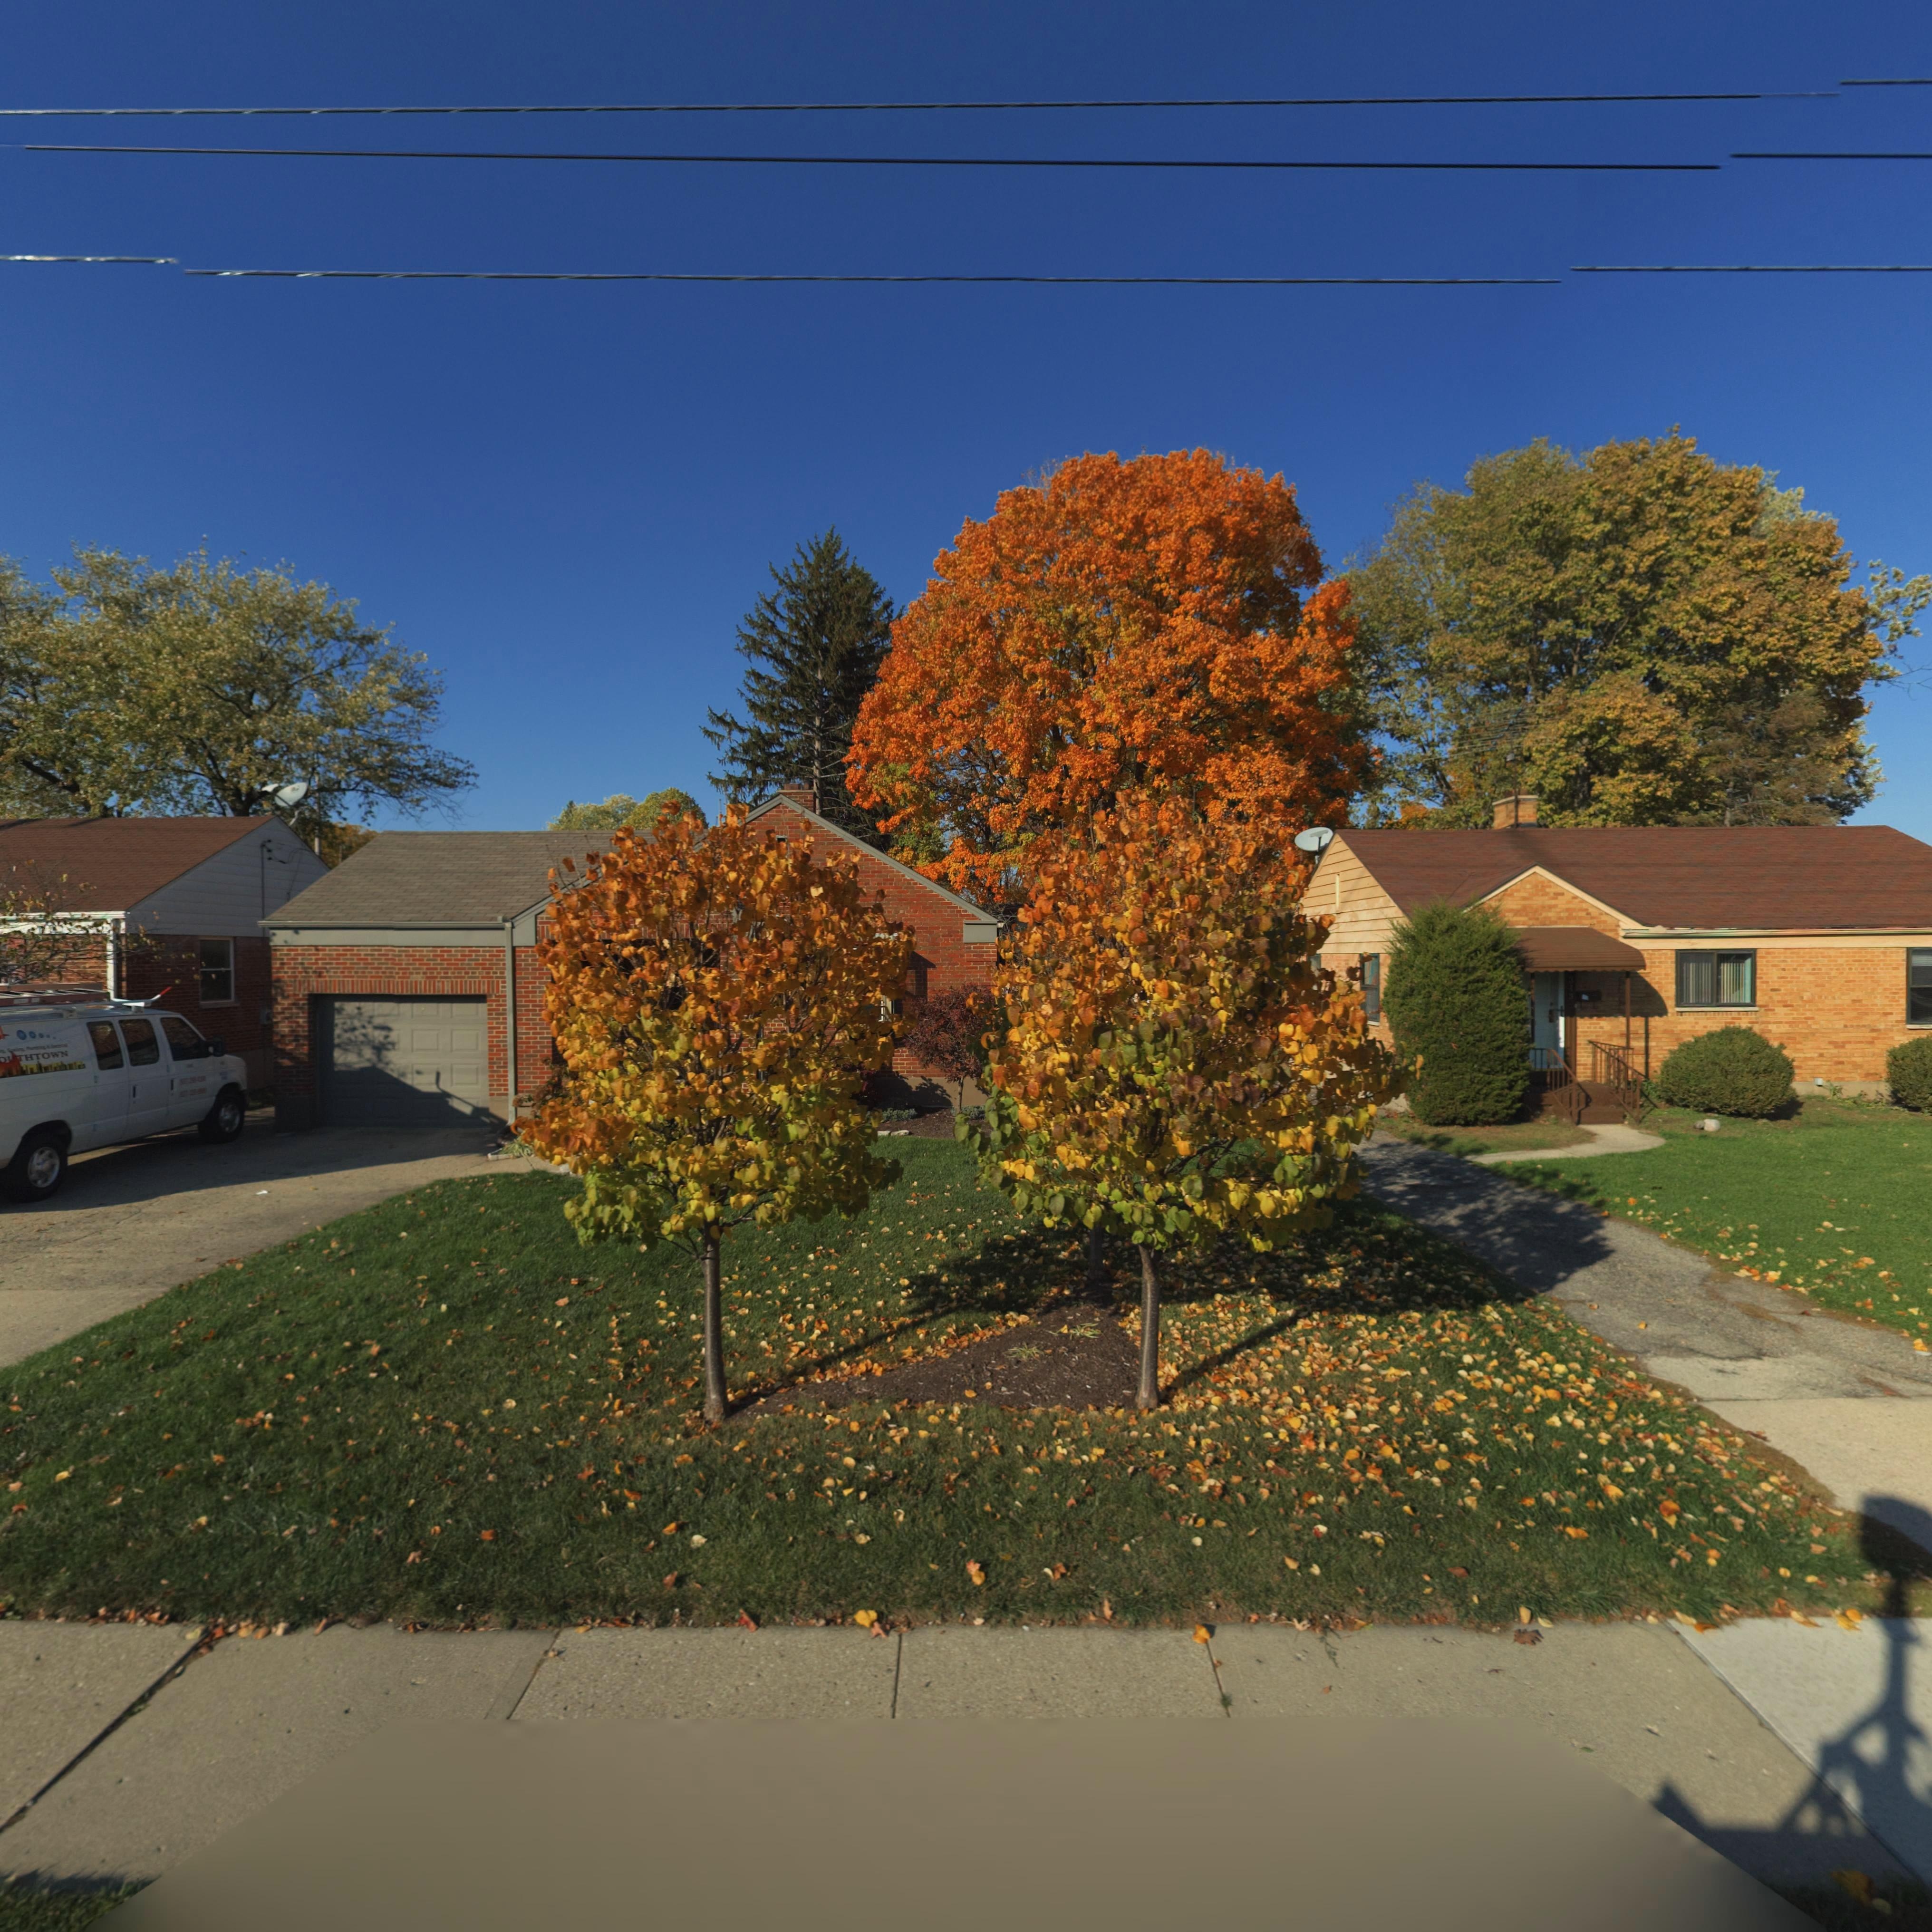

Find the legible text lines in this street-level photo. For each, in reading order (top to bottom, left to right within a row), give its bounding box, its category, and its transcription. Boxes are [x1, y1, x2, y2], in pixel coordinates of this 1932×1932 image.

[1567, 975, 1575, 1001] StreetNumber: 31*
[13, 1048, 71, 1063] None: THTOWN